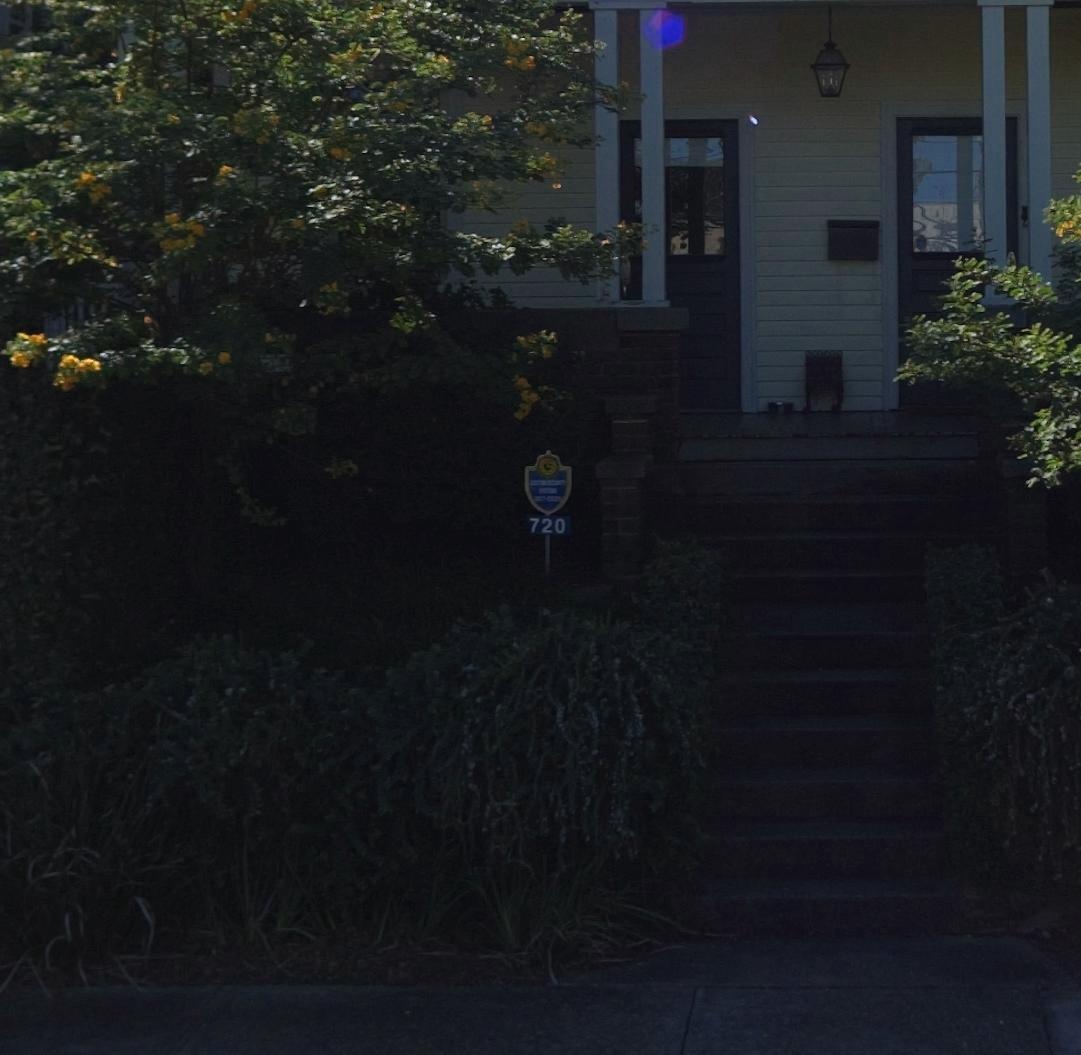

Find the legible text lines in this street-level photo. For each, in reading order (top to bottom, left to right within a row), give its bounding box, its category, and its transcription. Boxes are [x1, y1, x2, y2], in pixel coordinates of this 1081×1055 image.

[527, 516, 567, 535] StreetNumber: 720